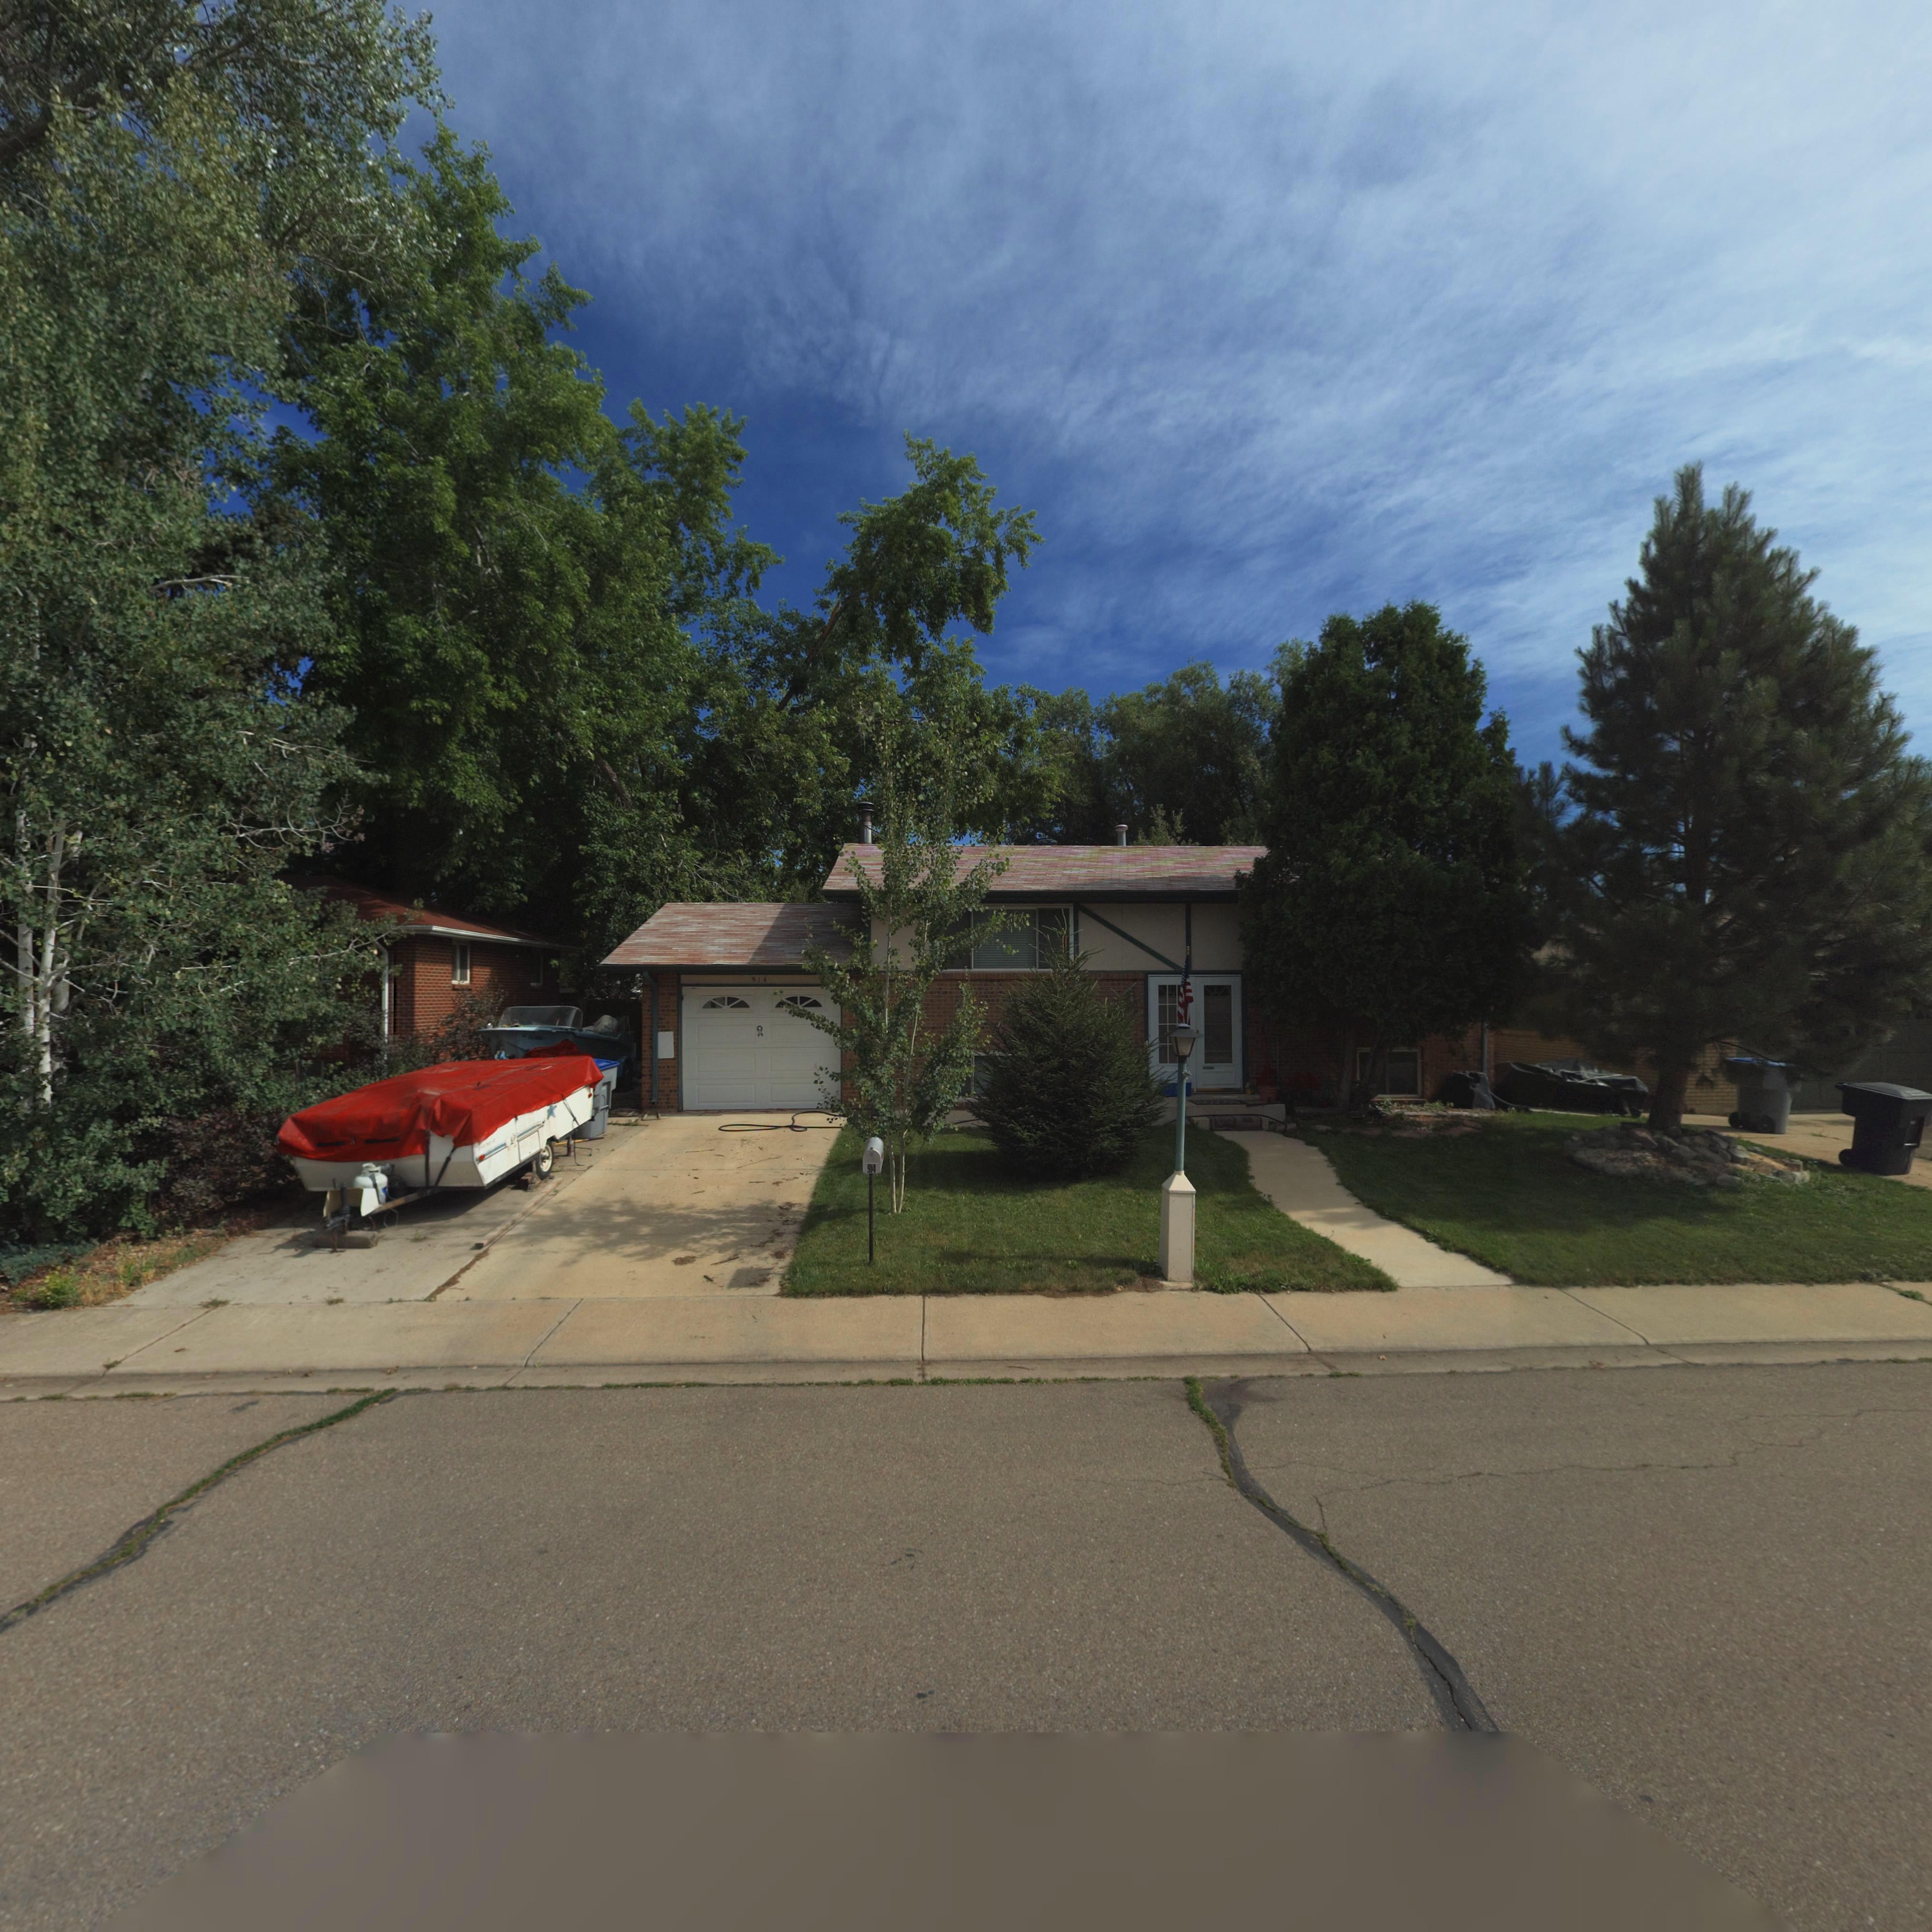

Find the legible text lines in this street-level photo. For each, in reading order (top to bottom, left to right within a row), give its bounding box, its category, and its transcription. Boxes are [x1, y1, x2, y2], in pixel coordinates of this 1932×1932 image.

[751, 976, 767, 983] StreetNumber: 914
[867, 1164, 876, 1173] StreetNumber: 914